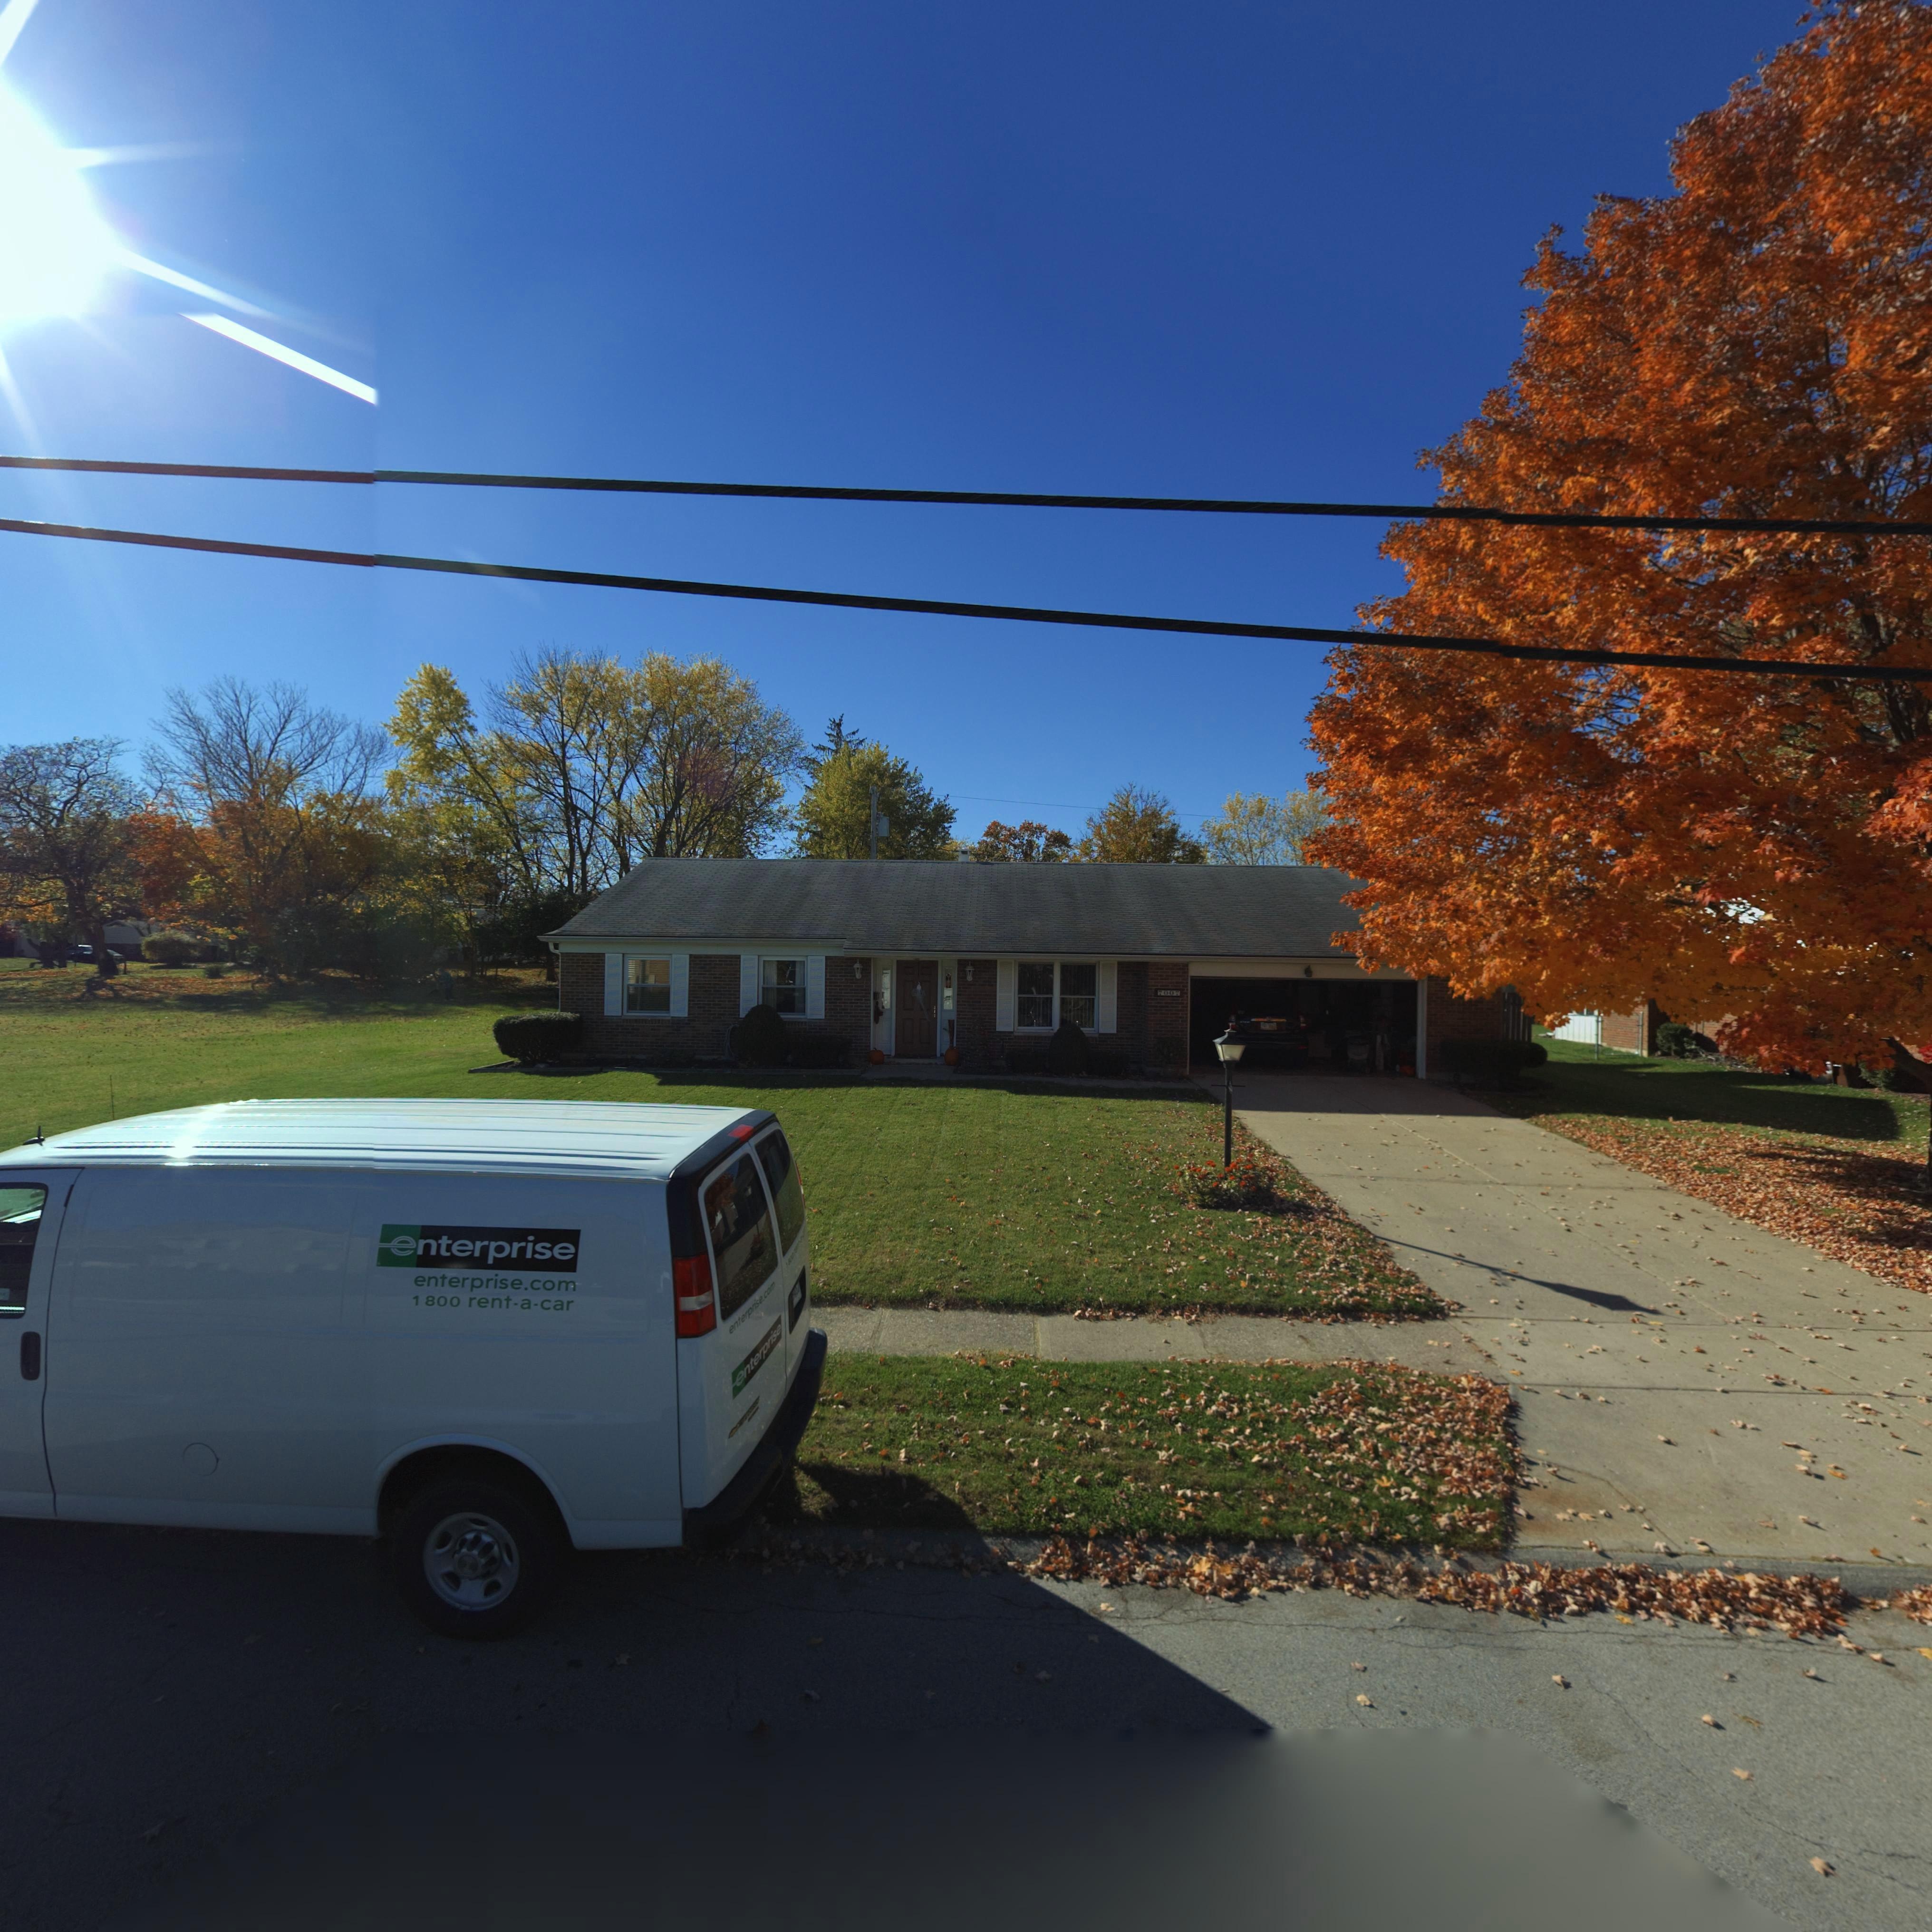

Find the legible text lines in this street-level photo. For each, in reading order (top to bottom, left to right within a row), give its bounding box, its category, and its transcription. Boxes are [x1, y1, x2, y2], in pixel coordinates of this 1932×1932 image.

[1158, 990, 1180, 996] StreetNumber: 7007
[389, 1233, 577, 1265] None: enterprise
[413, 1272, 577, 1294] None: enterprise.com
[412, 1294, 576, 1312] None: 1 800 rent-a-car
[728, 1280, 776, 1335] None: enterprise.com
[734, 1323, 782, 1388] None: enterprise